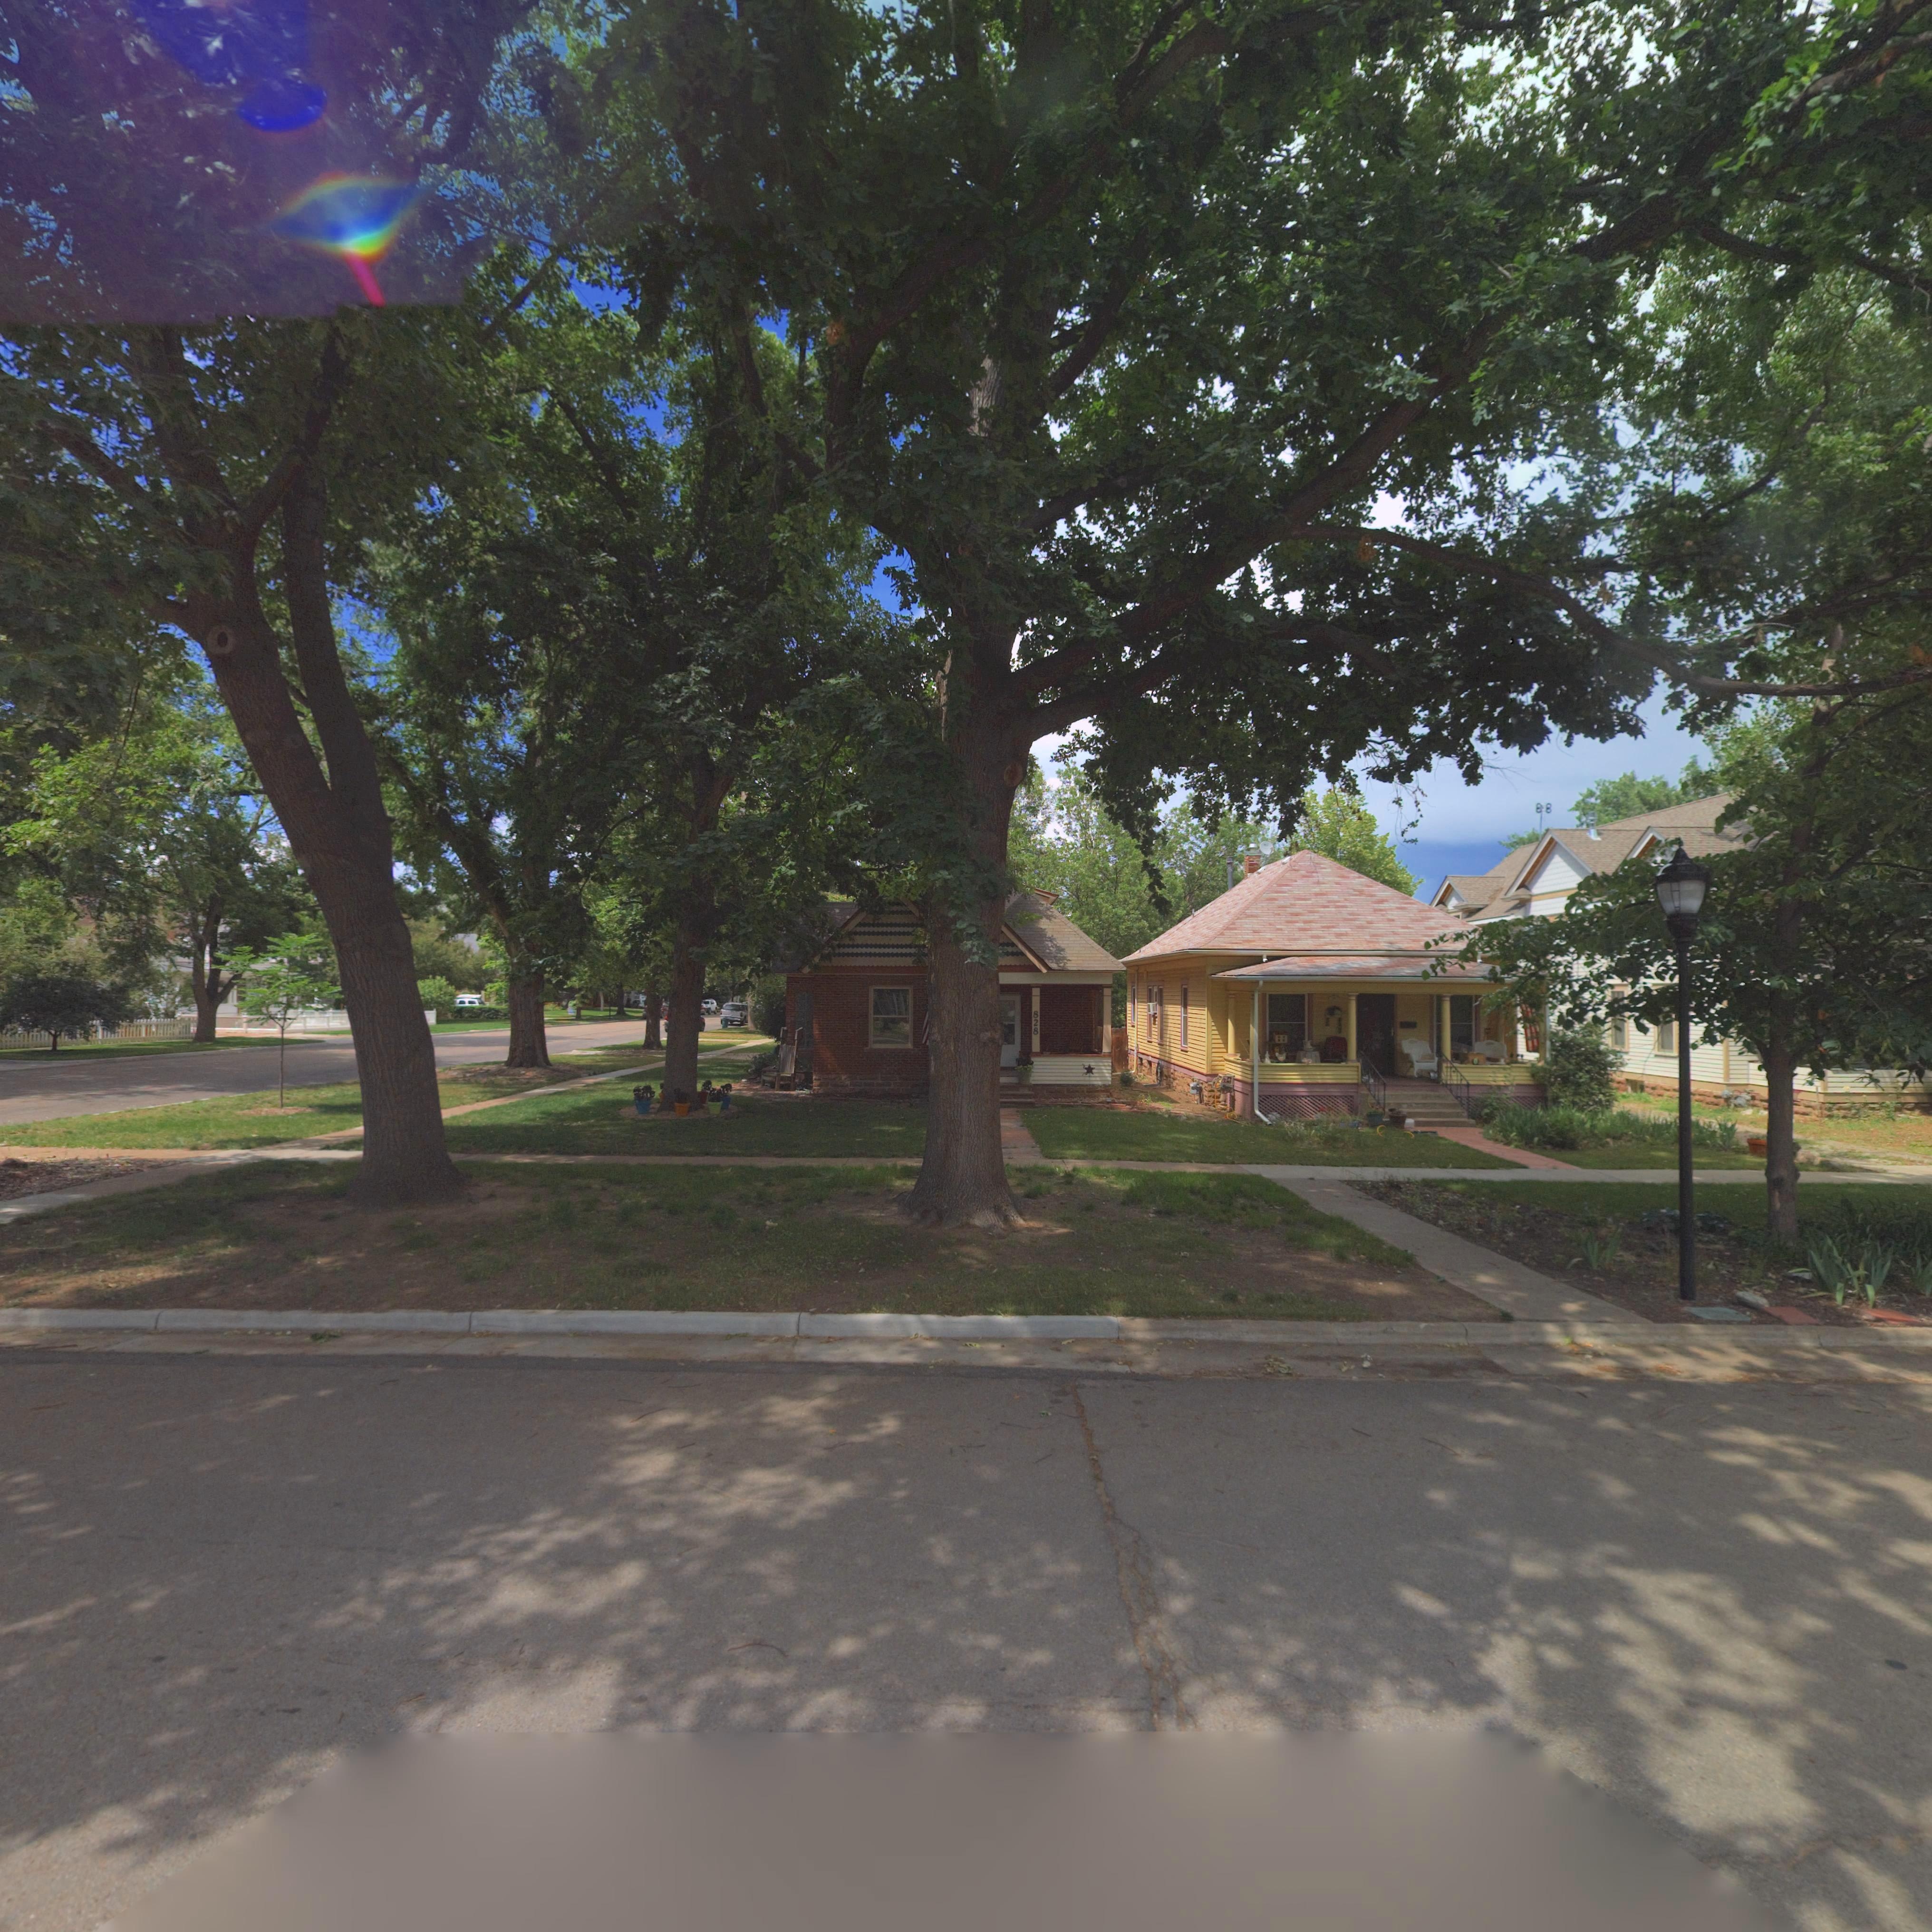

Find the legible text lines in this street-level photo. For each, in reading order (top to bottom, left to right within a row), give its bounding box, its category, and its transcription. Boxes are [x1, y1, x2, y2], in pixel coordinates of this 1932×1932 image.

[1033, 1010, 1039, 1035] StreetNumber: 828